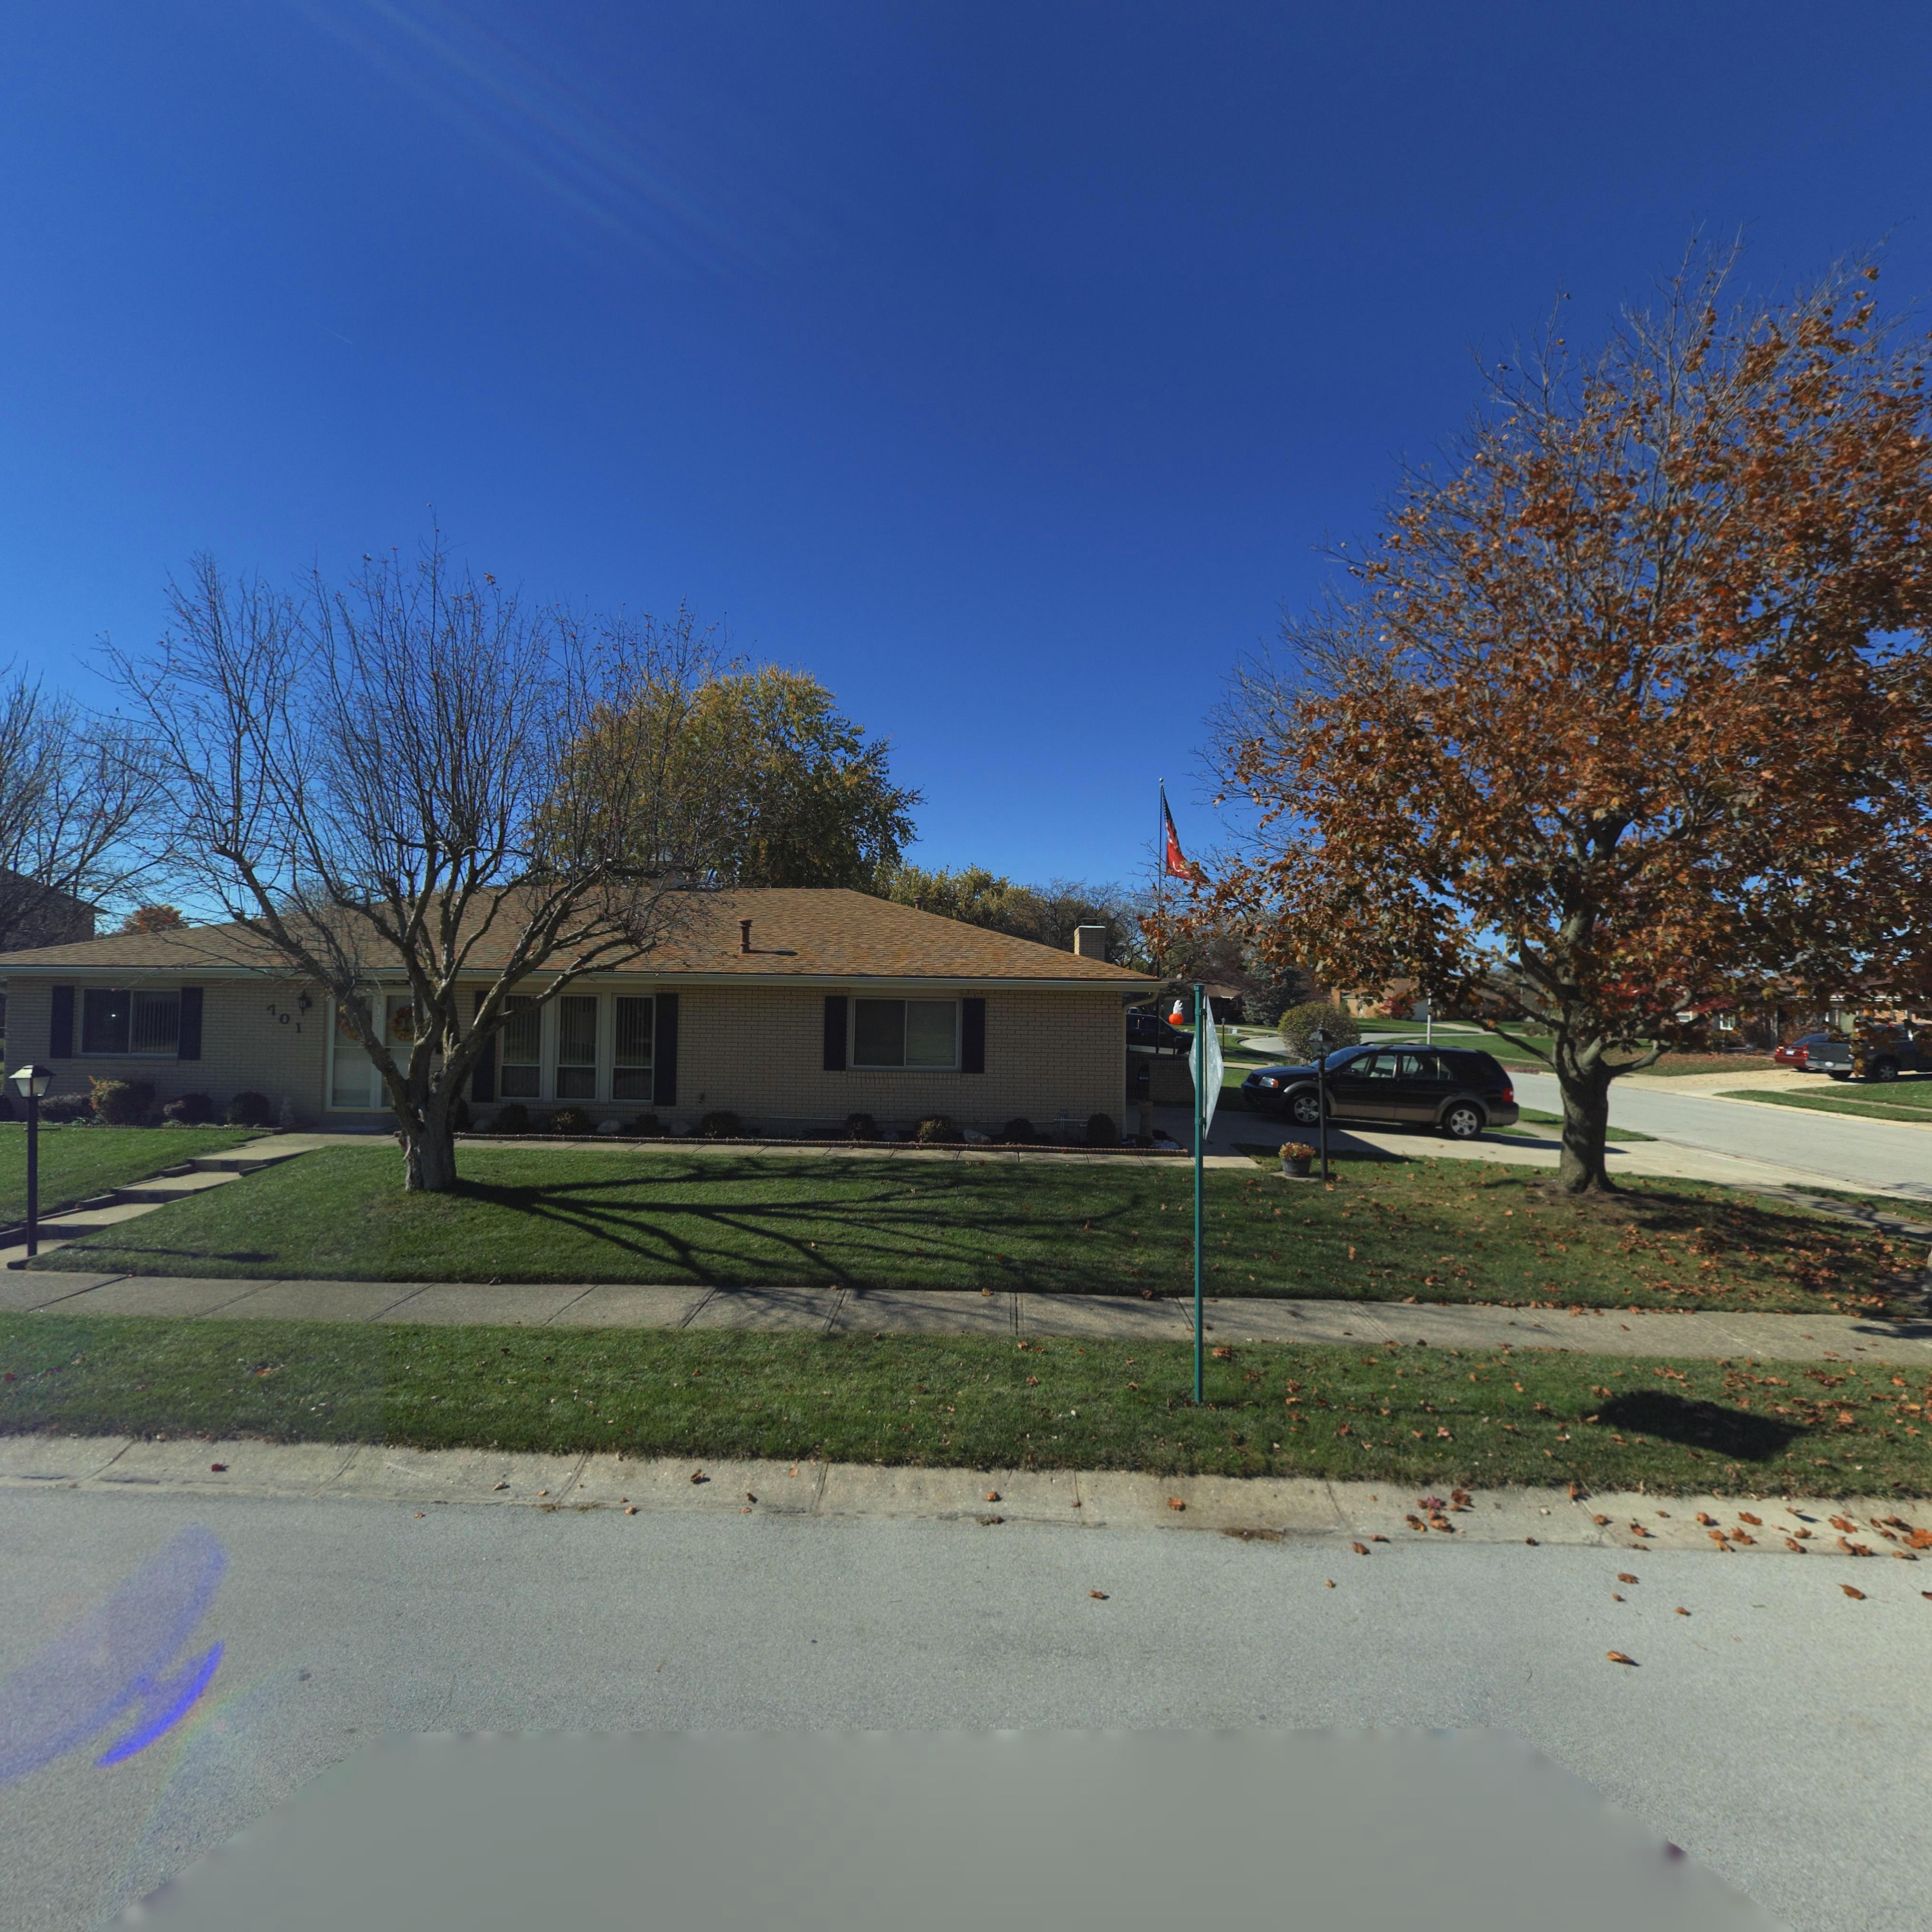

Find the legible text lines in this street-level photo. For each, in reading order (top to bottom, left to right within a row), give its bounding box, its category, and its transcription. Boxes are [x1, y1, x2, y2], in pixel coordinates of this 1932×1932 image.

[265, 1003, 303, 1034] StreetNumber: 701